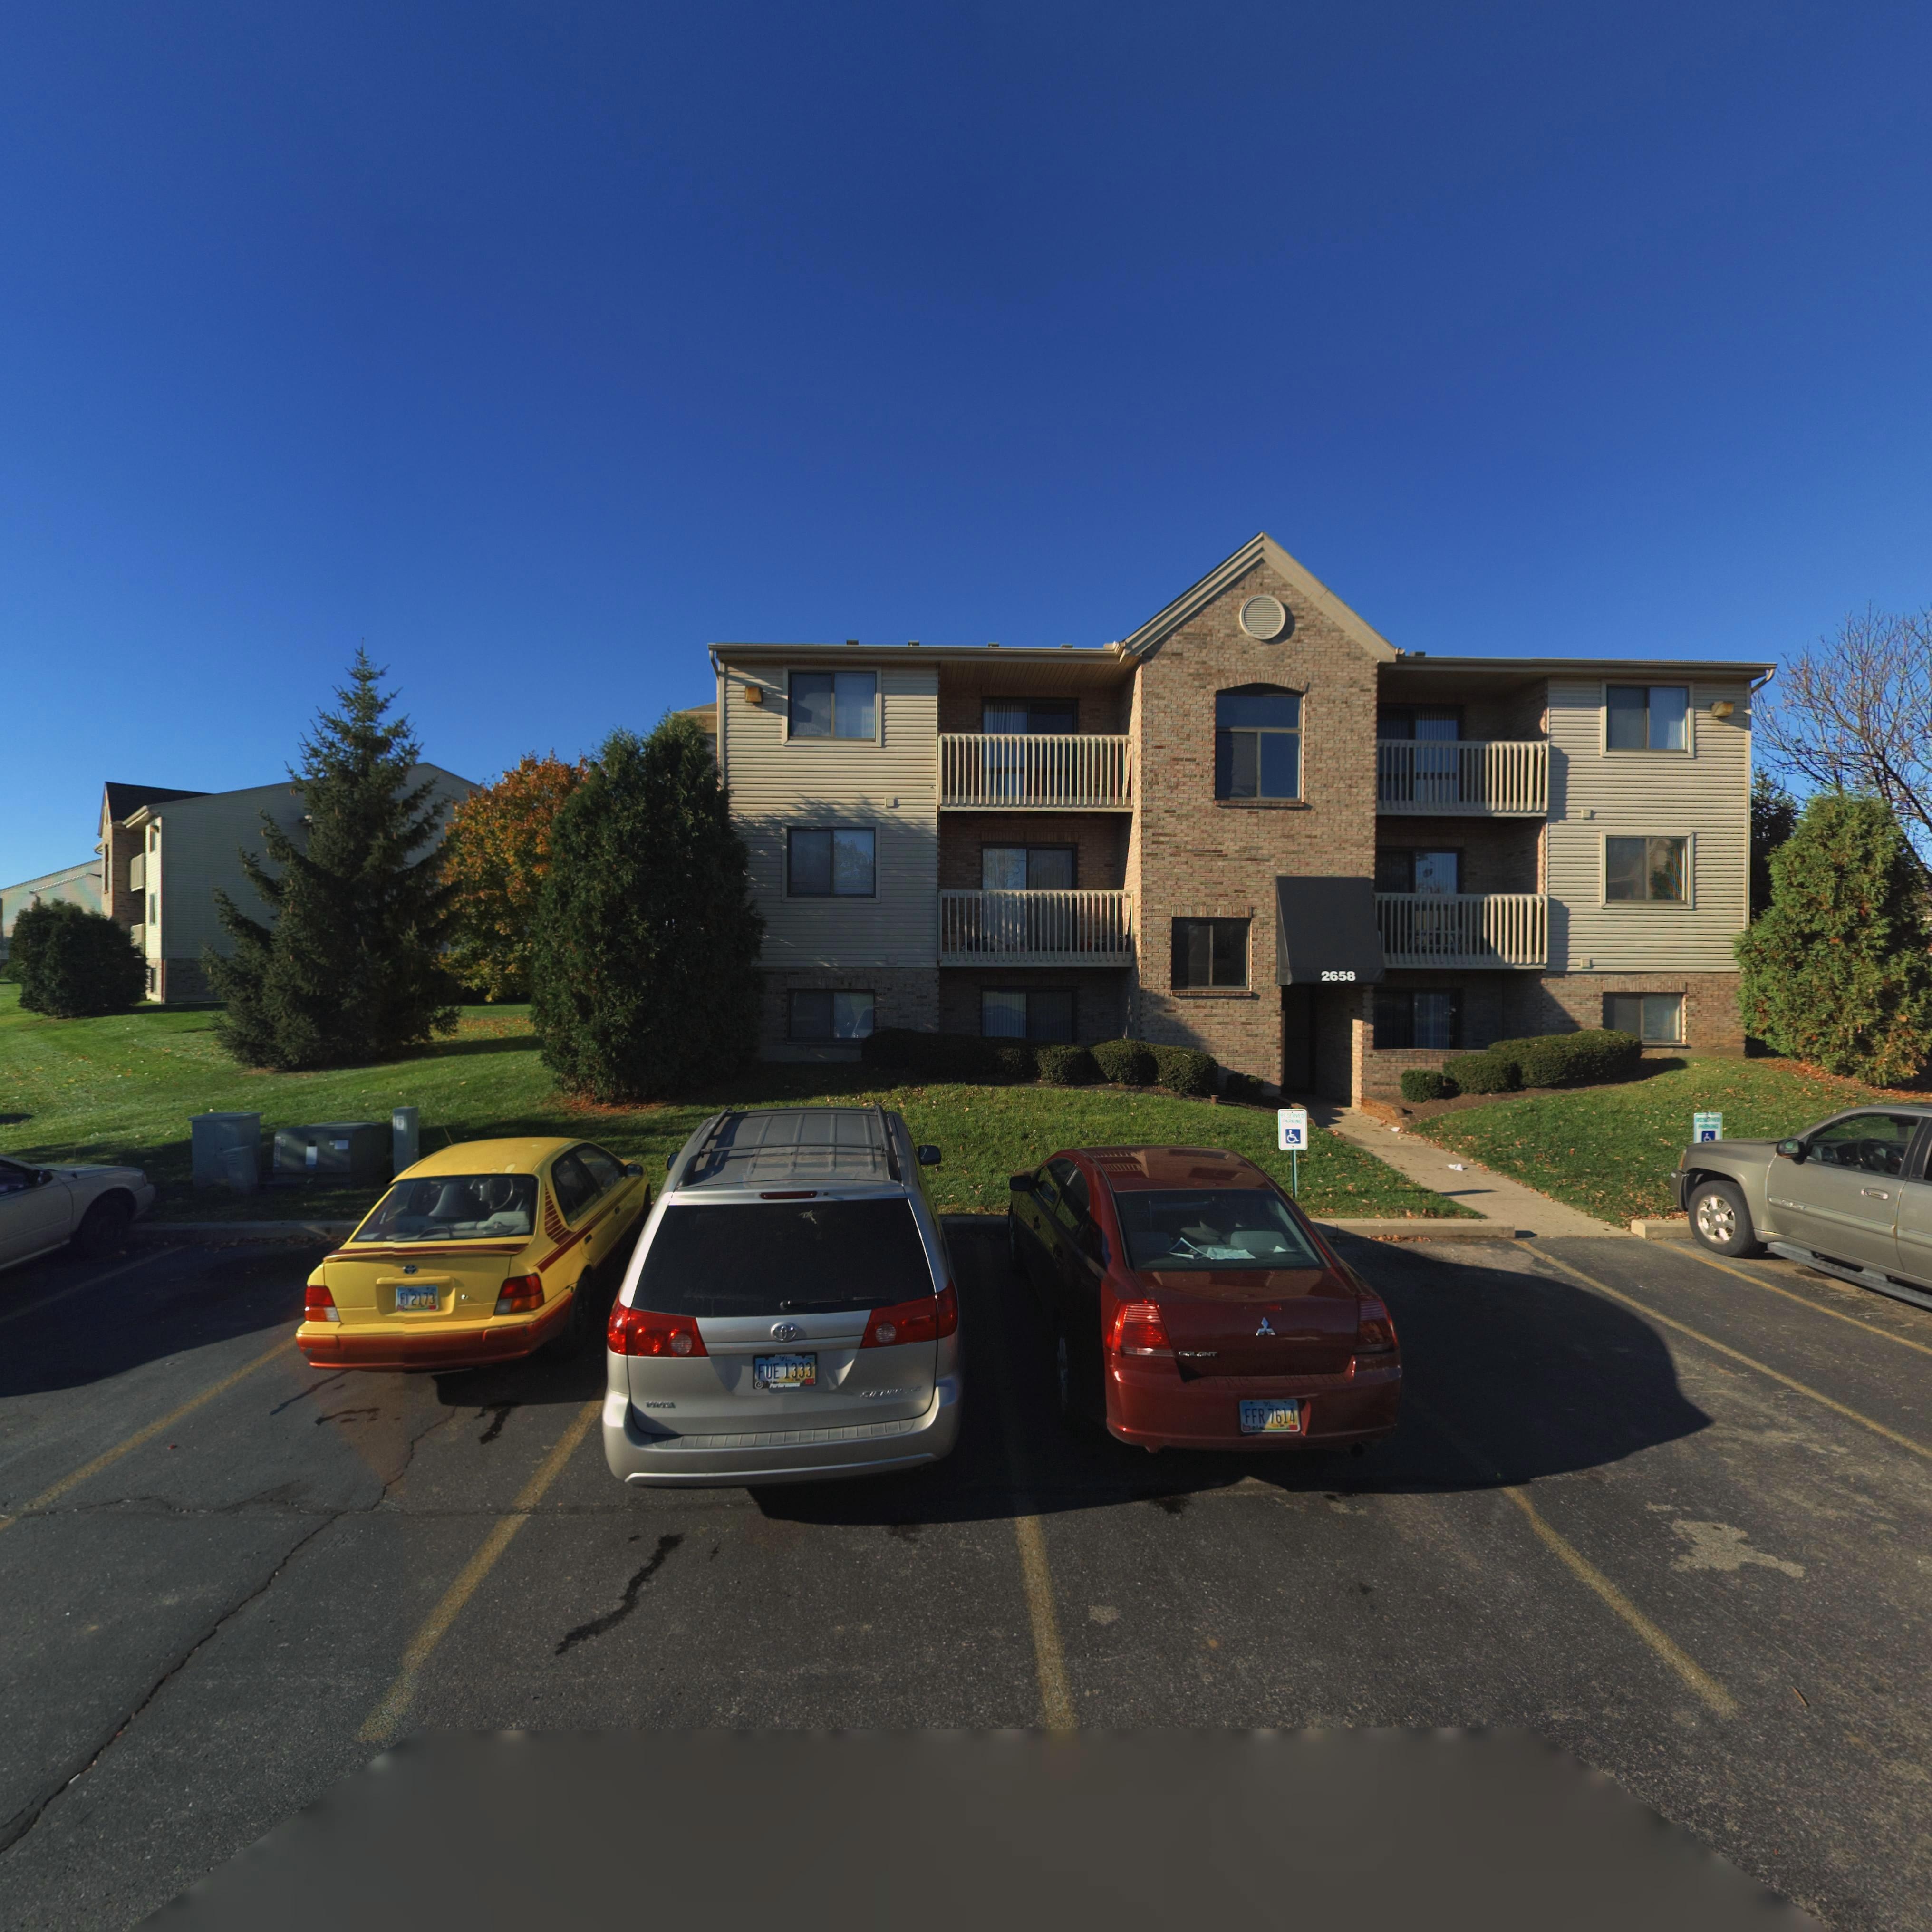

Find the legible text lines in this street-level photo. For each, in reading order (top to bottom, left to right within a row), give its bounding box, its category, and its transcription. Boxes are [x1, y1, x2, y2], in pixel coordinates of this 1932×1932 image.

[1320, 970, 1357, 982] StreetNumber: 2658